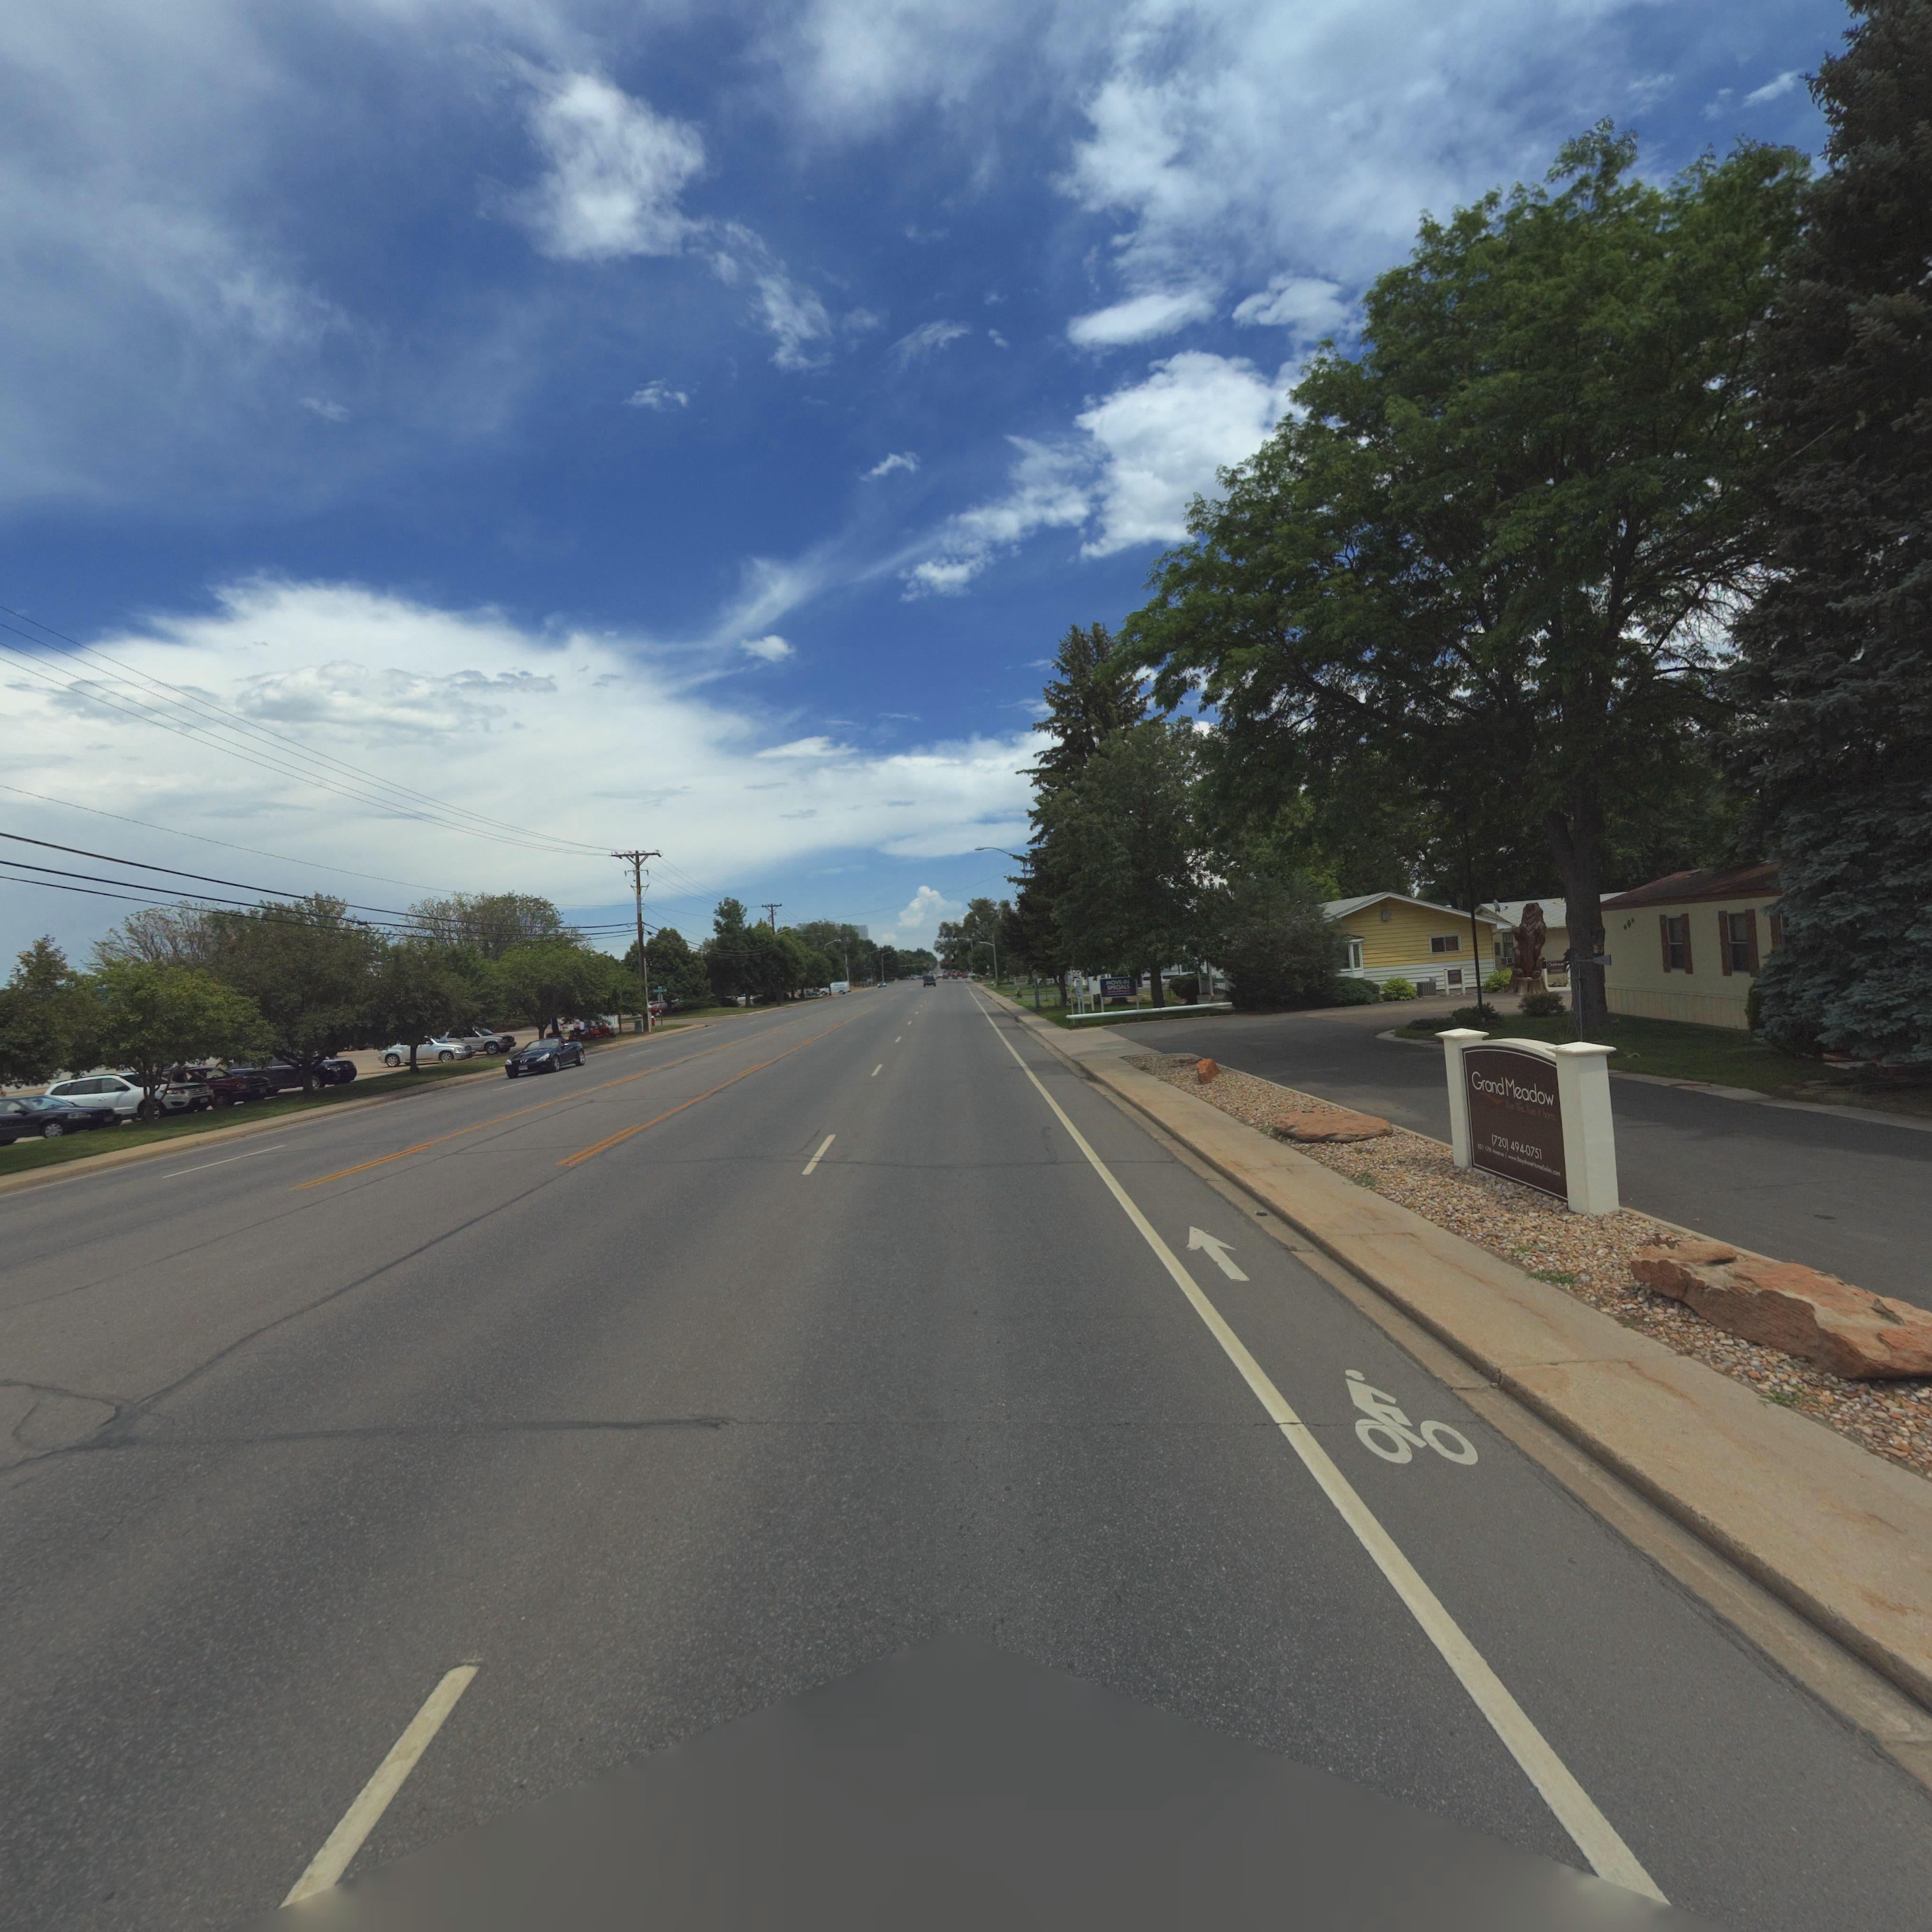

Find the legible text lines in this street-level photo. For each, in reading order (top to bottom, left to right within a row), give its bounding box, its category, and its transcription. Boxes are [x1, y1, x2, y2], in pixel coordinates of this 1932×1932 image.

[1470, 1069, 1556, 1107] BusinessName: Grand Meadow
[1477, 1142, 1484, 1150] StreetNumber: **7
[1484, 1145, 1505, 1158] StreetName: 17th Av****